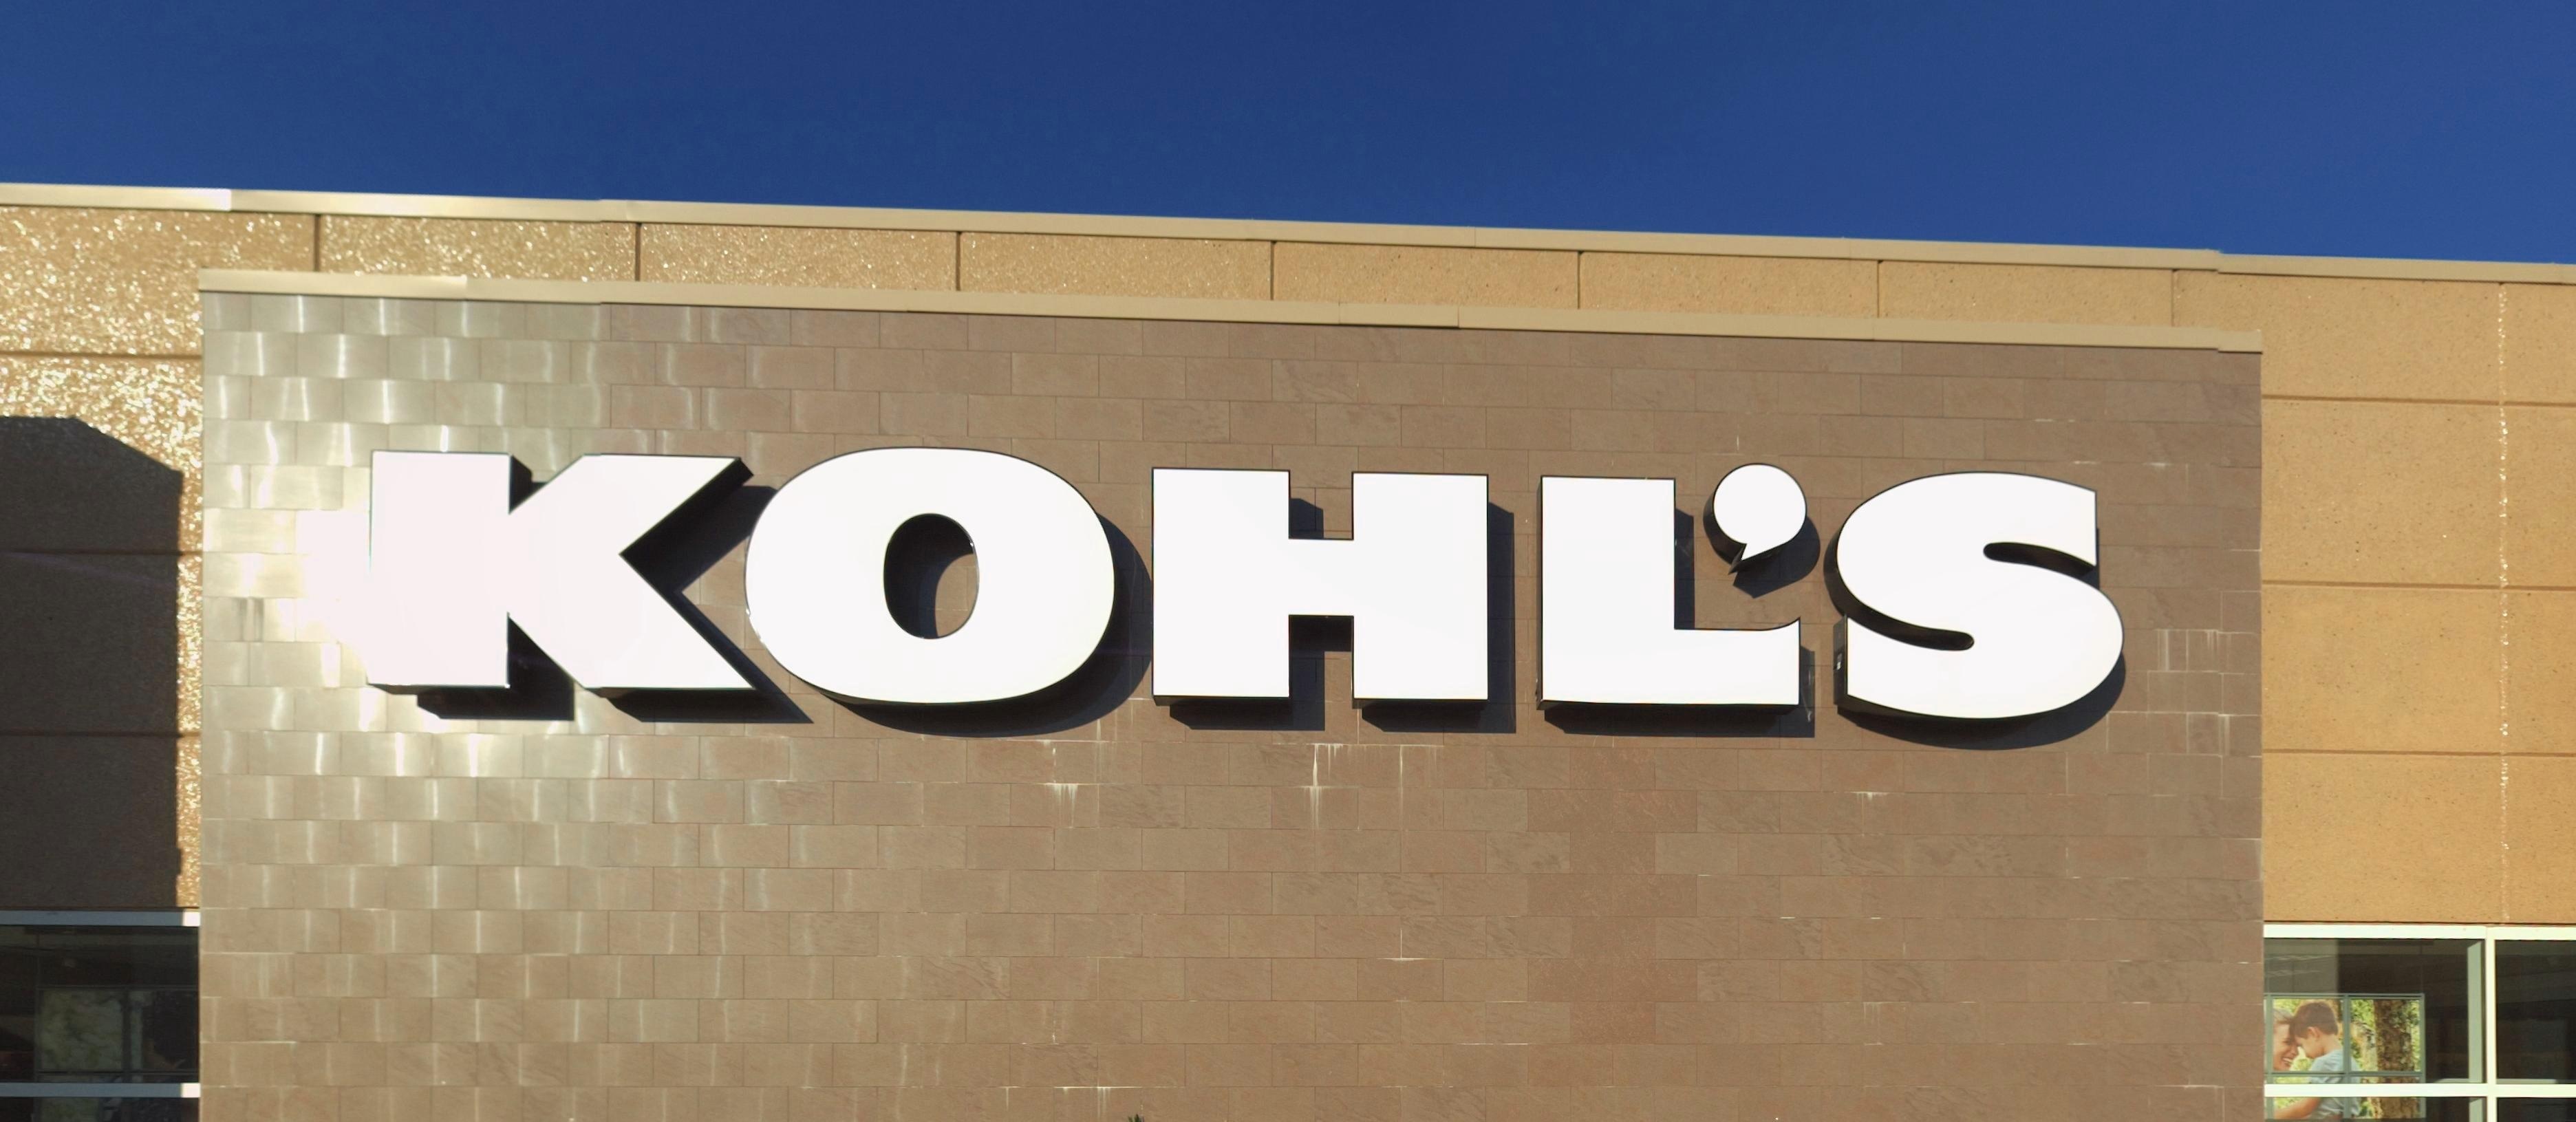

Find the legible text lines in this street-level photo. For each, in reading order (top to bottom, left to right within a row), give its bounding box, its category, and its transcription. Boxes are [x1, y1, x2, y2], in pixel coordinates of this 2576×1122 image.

[364, 442, 2127, 723] BusinessName: KOHL'S